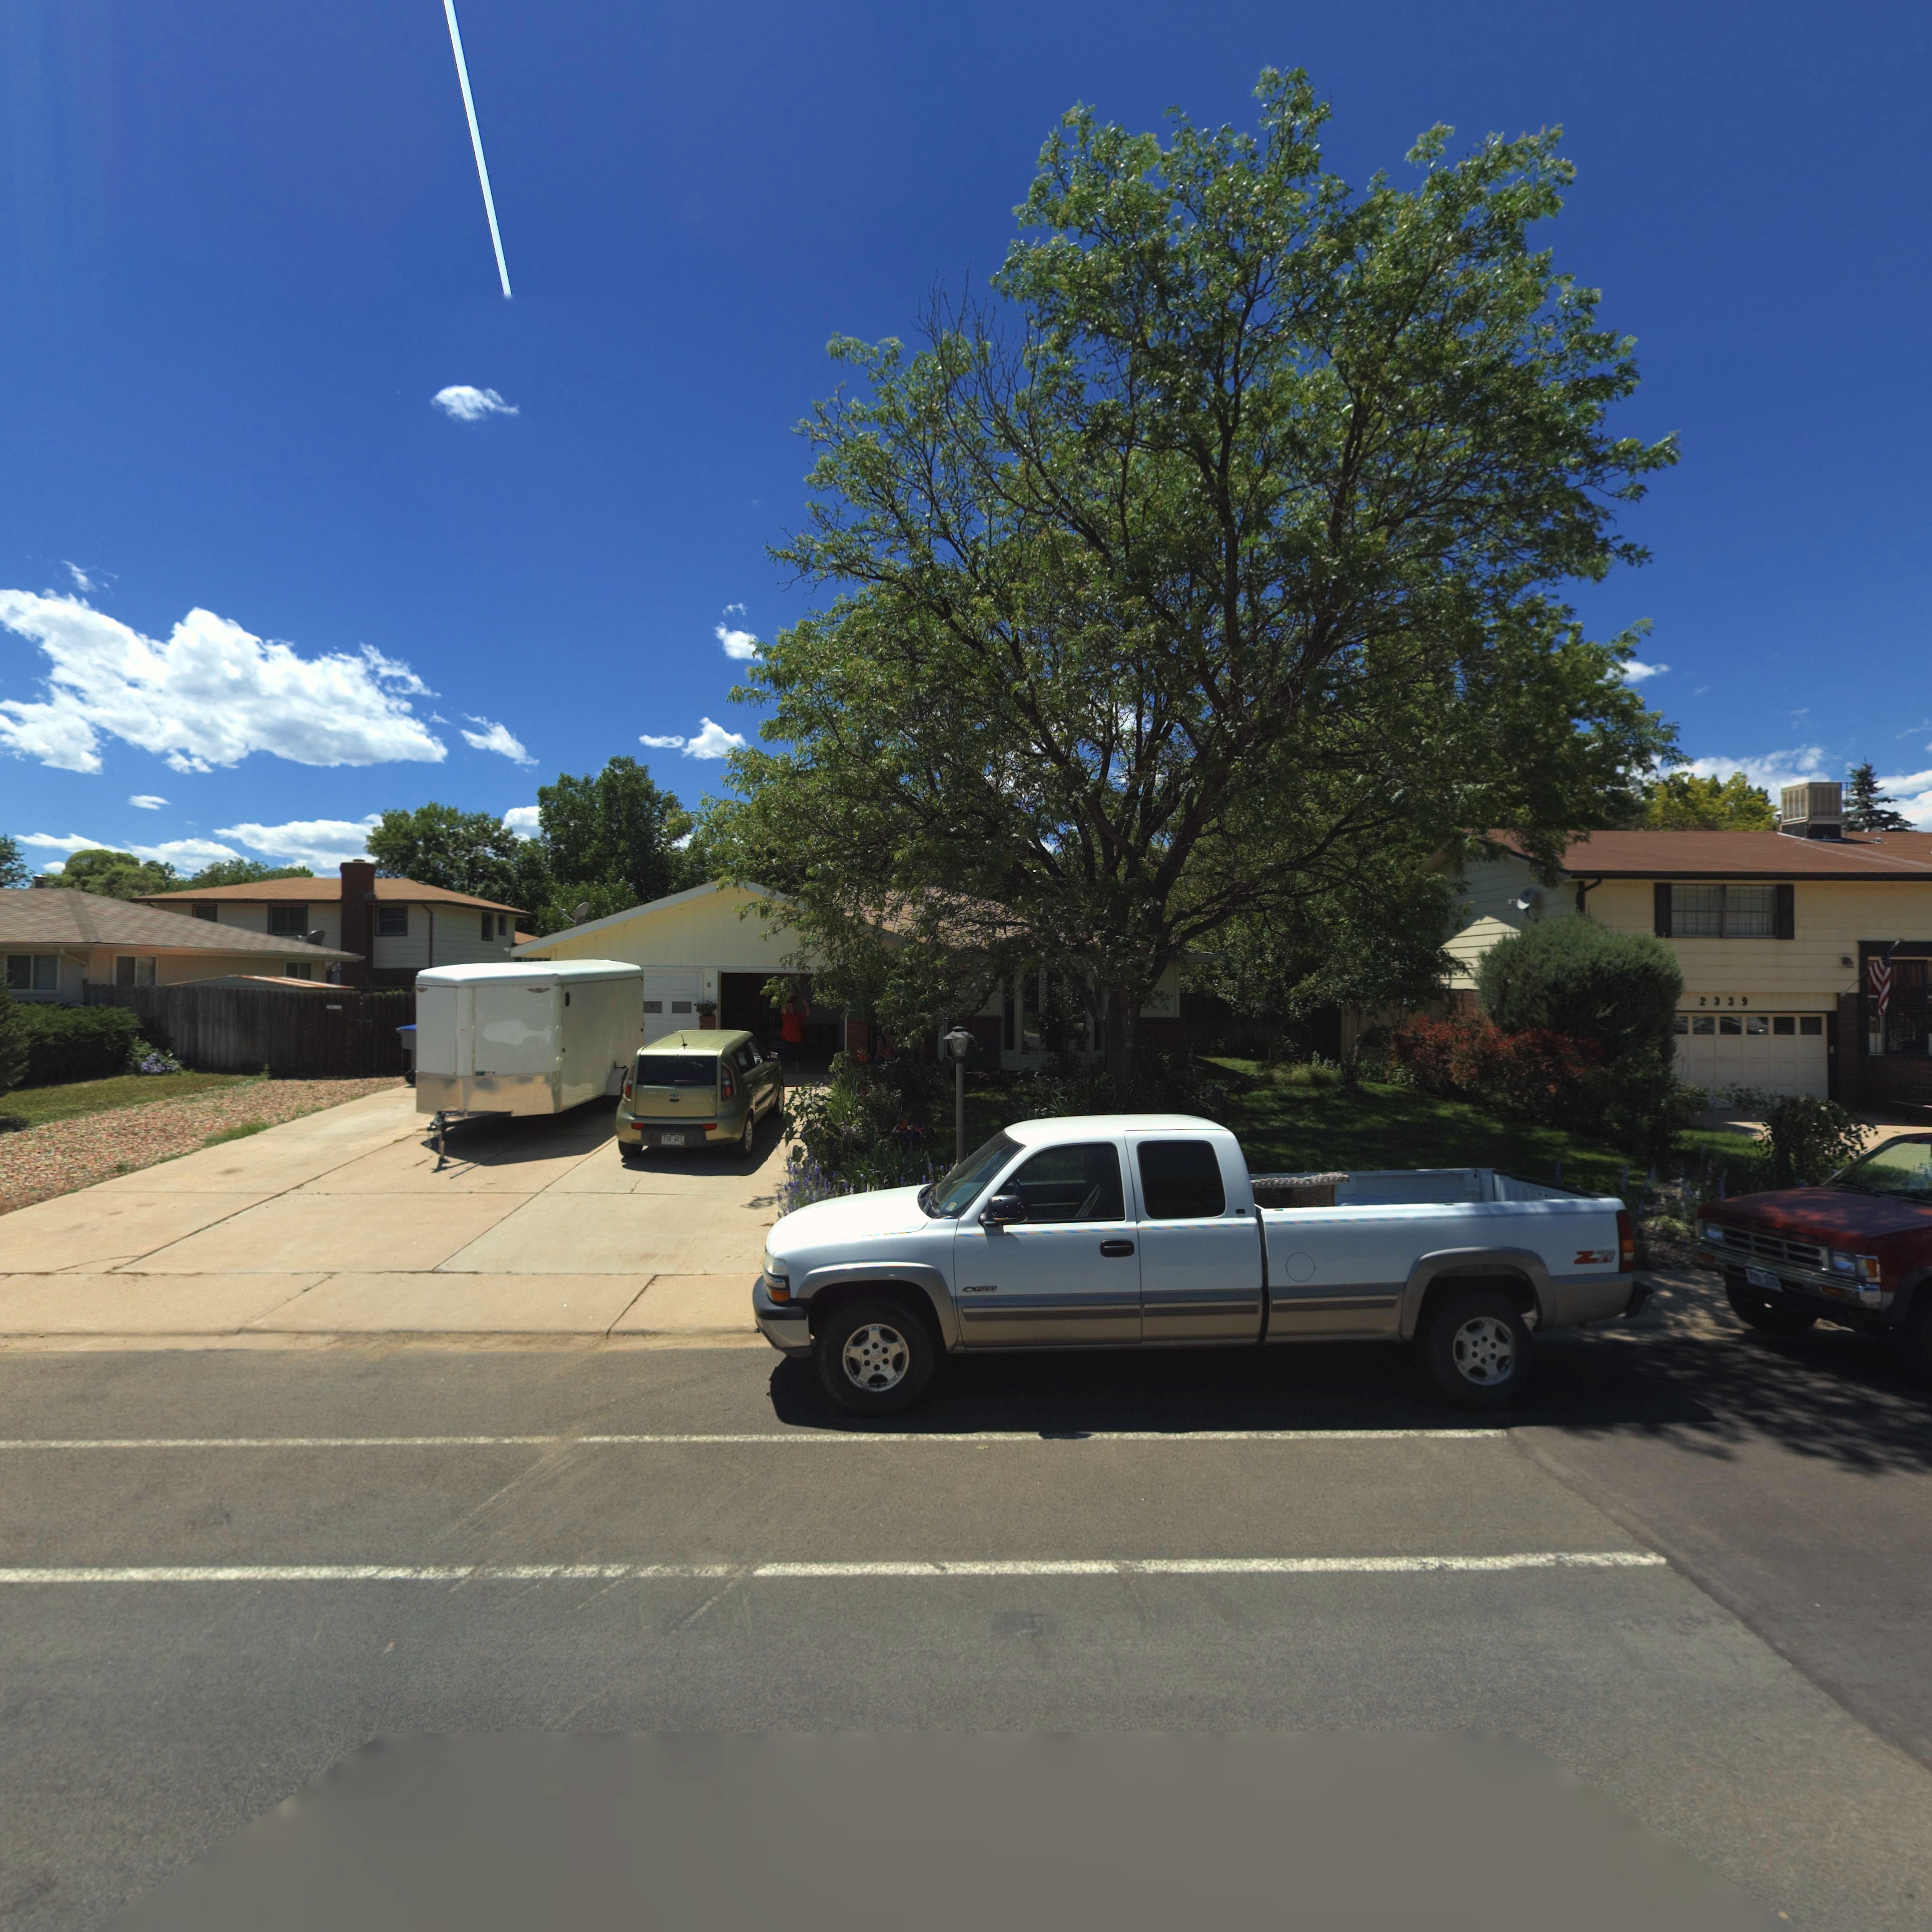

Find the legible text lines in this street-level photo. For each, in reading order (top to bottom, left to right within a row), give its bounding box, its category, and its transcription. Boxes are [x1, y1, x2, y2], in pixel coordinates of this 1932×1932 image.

[1700, 996, 1748, 1006] StreetNumber: 2339